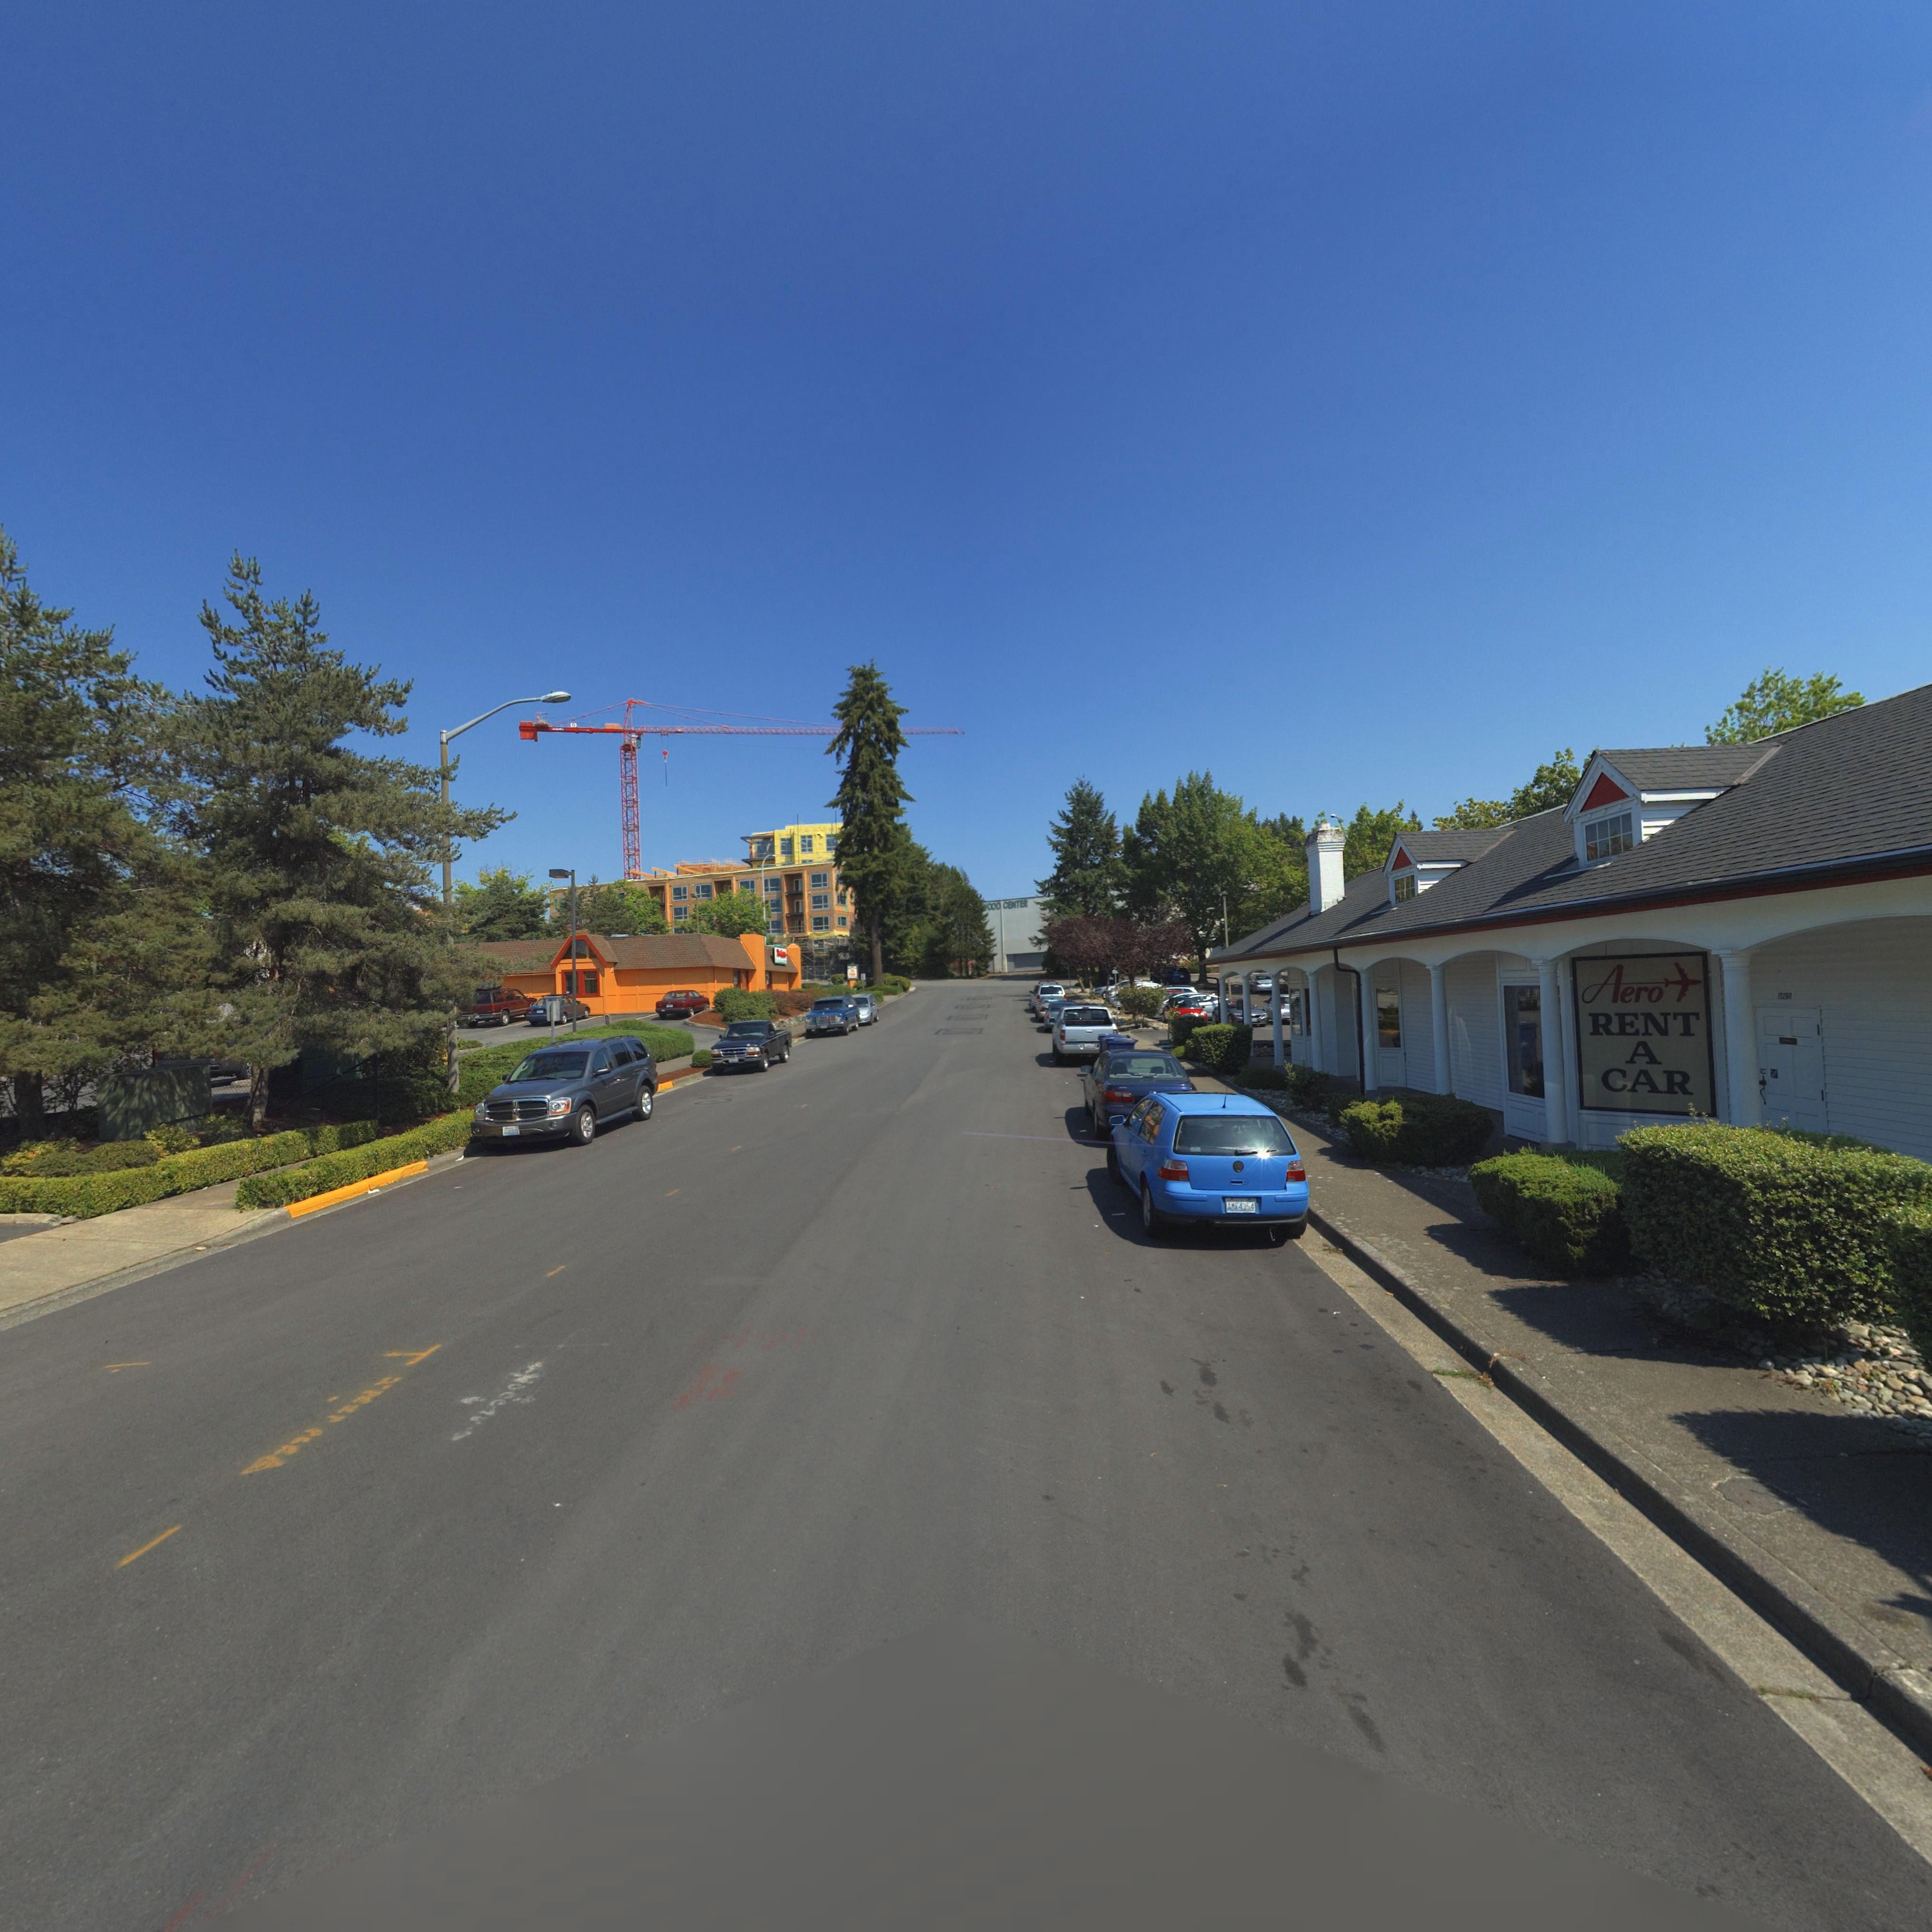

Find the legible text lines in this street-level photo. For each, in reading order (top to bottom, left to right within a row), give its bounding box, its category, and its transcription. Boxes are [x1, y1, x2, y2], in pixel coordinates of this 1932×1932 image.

[1577, 962, 1668, 1004] BusinessName: Aero
[1587, 1011, 1700, 1037] BusinessName: RENT
[1623, 1041, 1662, 1064] BusinessName: A
[1600, 1067, 1693, 1095] BusinessName: CAR